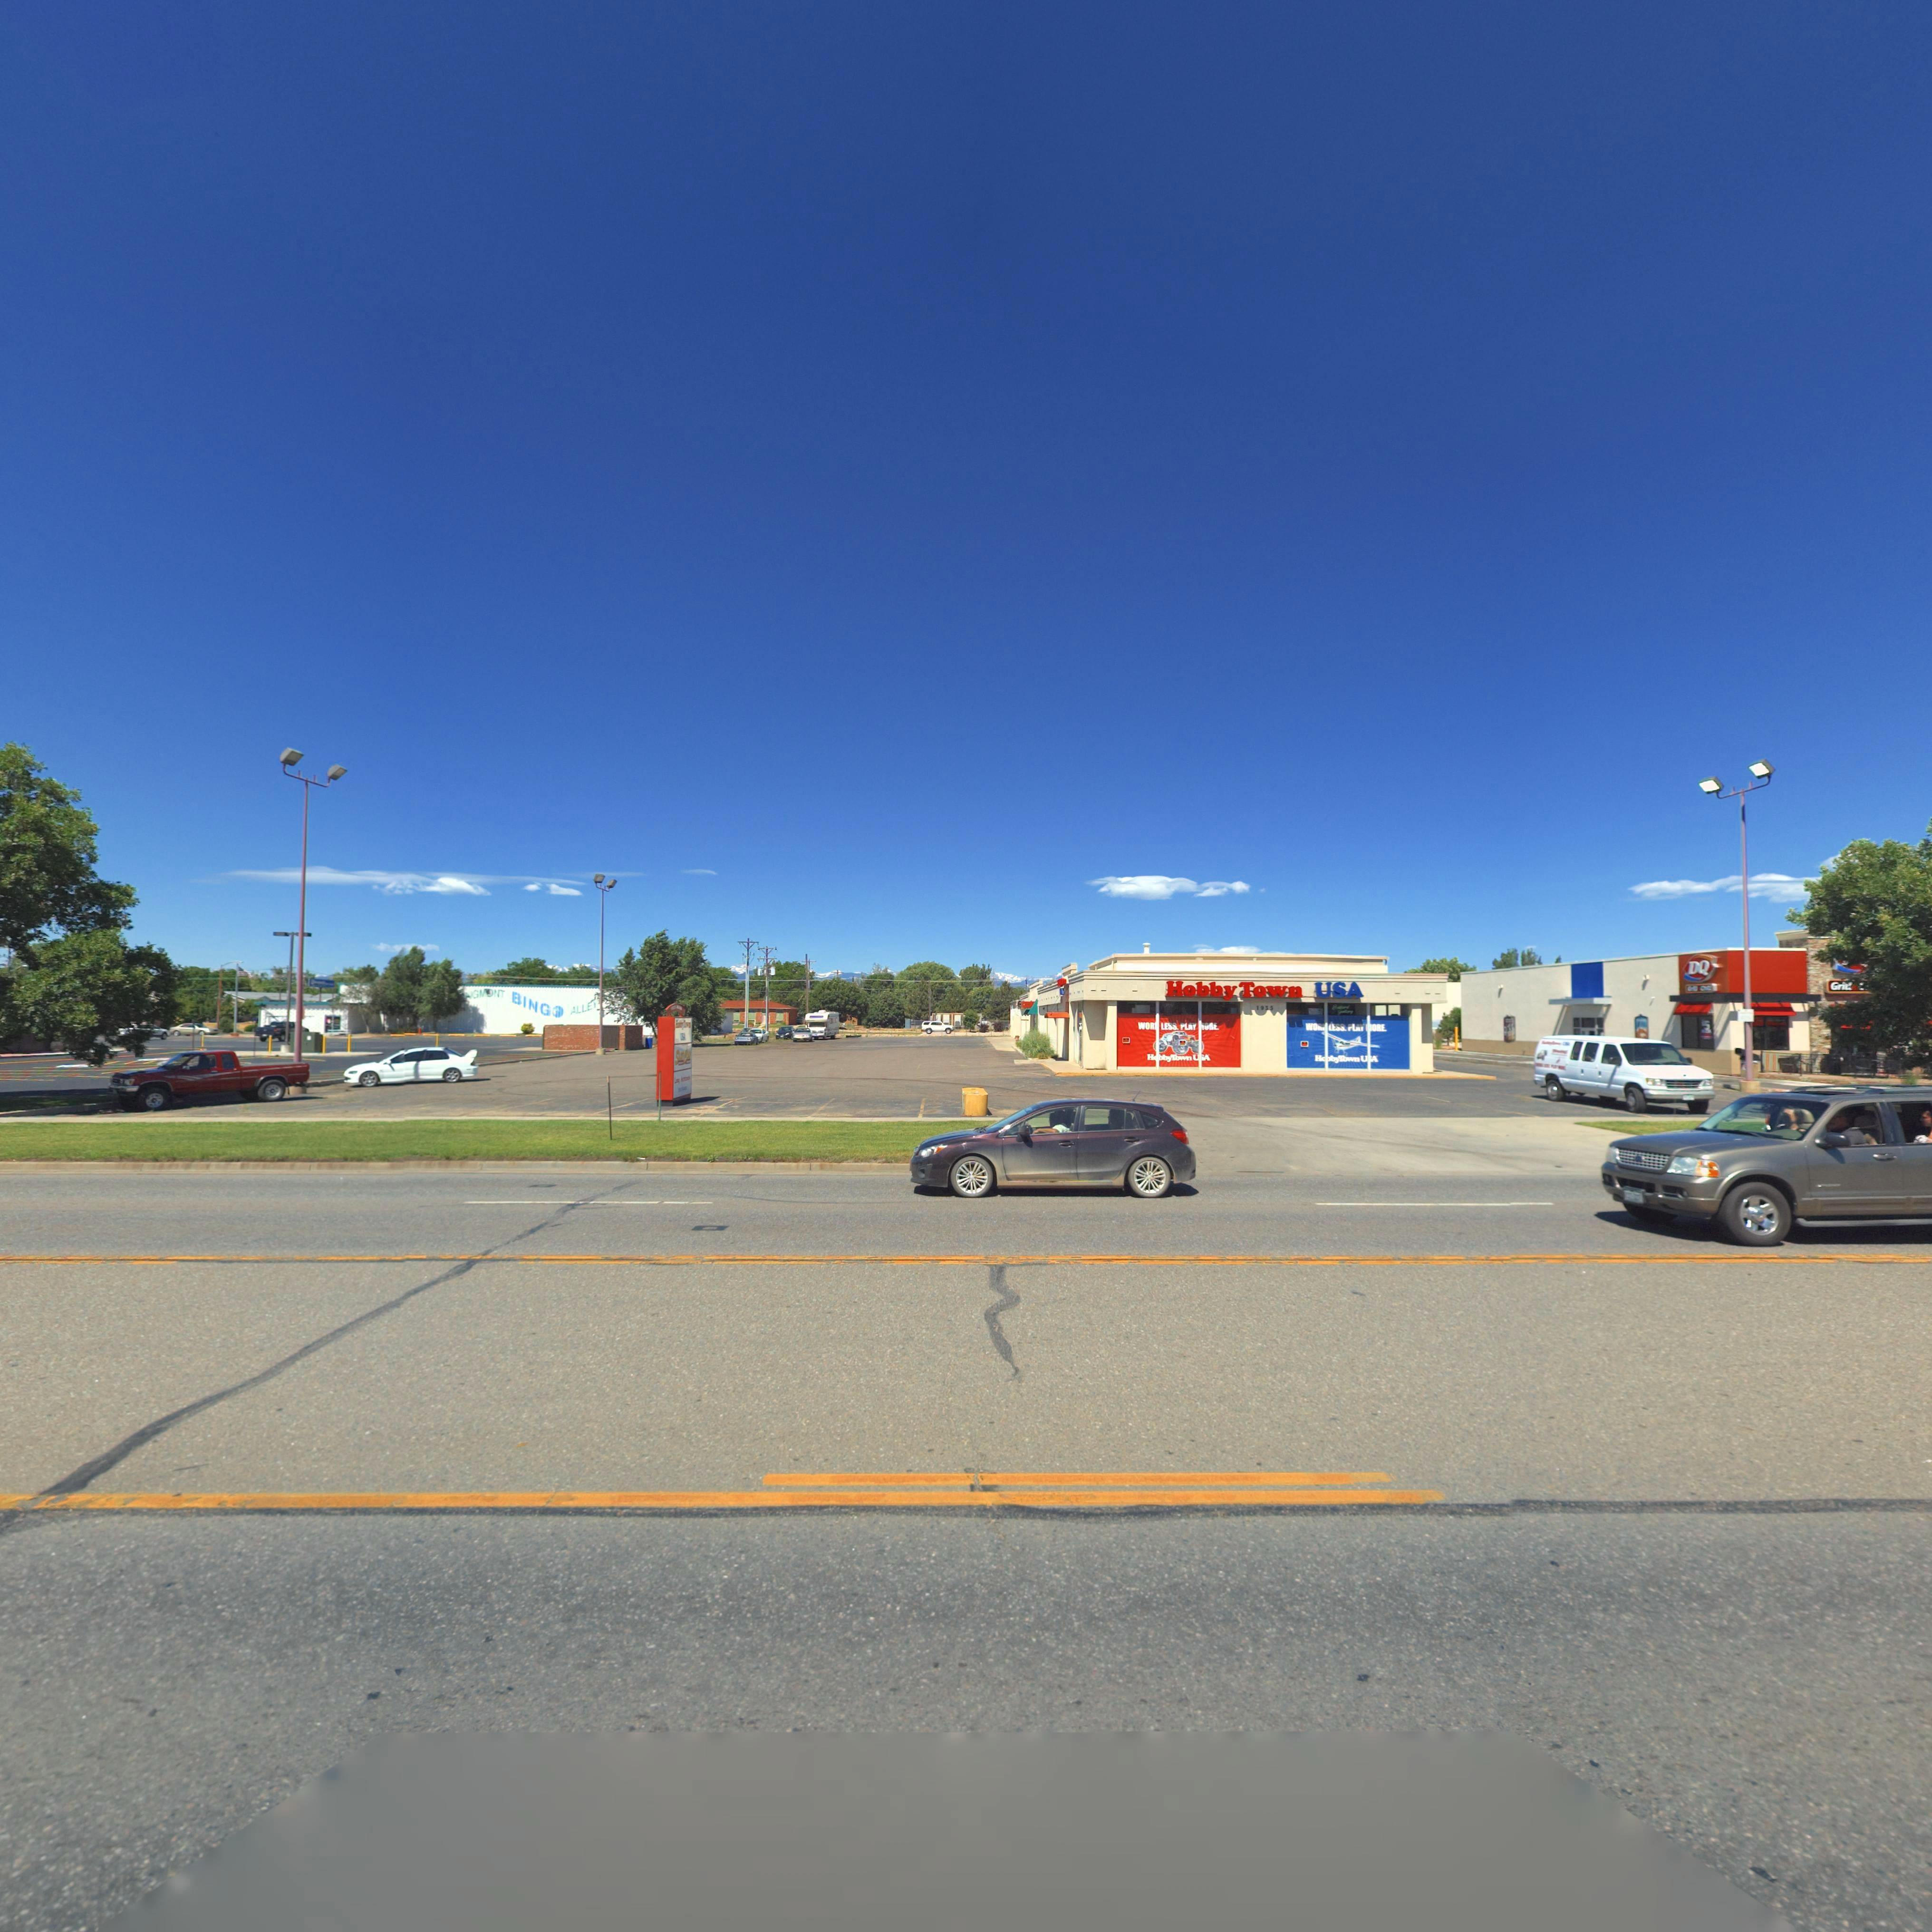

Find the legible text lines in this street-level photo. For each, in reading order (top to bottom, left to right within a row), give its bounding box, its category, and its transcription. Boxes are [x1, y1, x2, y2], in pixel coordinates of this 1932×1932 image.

[1687, 959, 1710, 976] BusinessName: DQ
[1165, 980, 1365, 1001] BusinessName: HobbyTown USA
[464, 987, 598, 1018] BusinessName: NGMONT BING* ALLEY
[1256, 1005, 1273, 1011] StreetNumber: 1935
[675, 1019, 691, 1030] BusinessName: HobbyTown
[680, 1032, 686, 1041] BusinessName: USA
[674, 1048, 691, 1065] BusinessName: S***CAR
[674, 1074, 691, 1085] BusinessName: Long Autobody